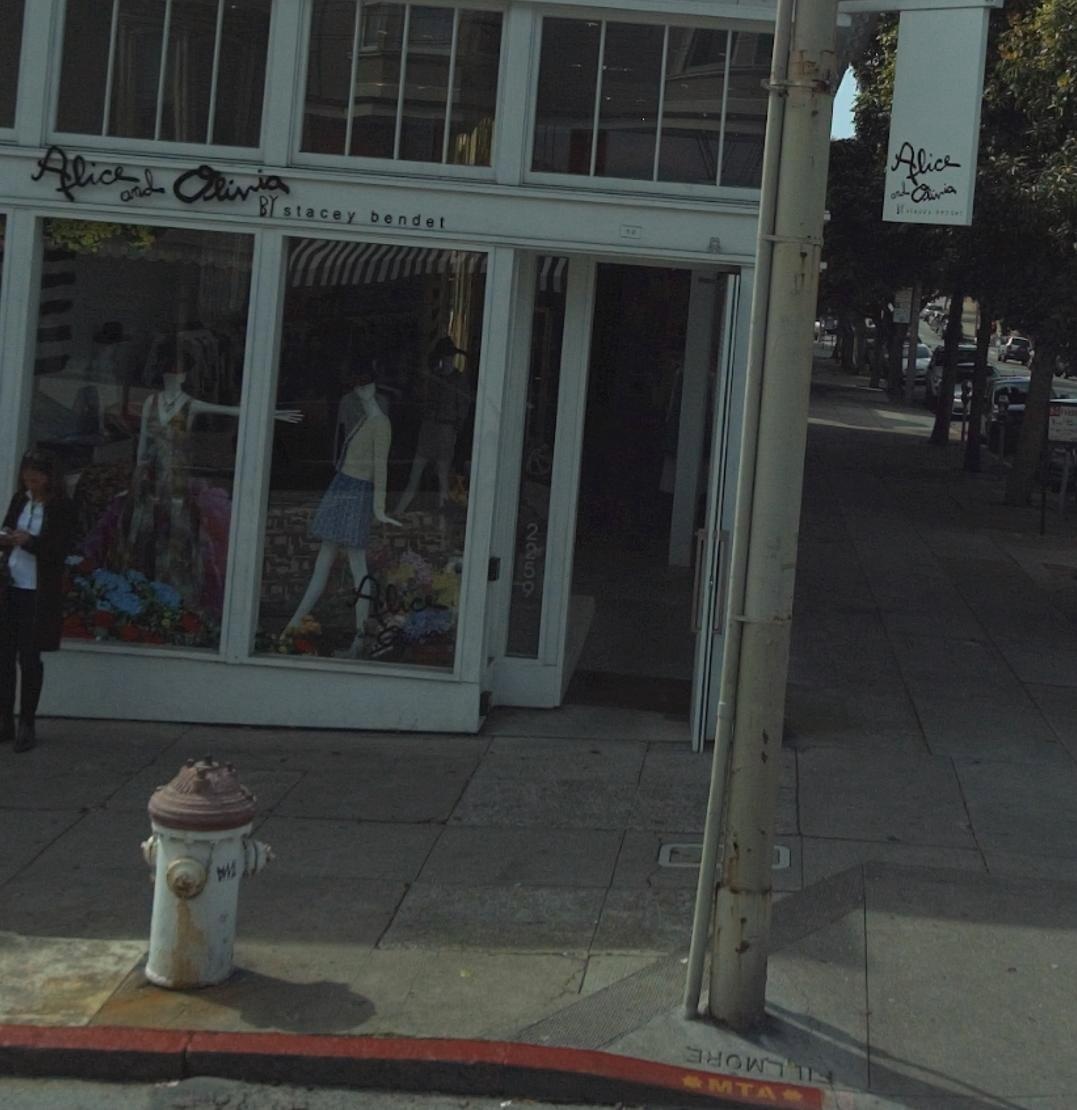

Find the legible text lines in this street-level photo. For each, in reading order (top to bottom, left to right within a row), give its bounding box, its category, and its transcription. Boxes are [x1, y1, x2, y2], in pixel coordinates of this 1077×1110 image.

[30, 141, 294, 206] BusinessName: Alice and Olivia
[256, 194, 448, 232] None: BY stacey bendet
[888, 179, 961, 206] BusinessName: **d Olivia
[888, 136, 964, 187] BusinessName: Alice
[519, 520, 541, 601] StreetNumber: 2259
[344, 572, 437, 619] BusinessName: Alice
[706, 1075, 781, 1104] None: mta
[682, 1040, 838, 1090] None: **o***i*